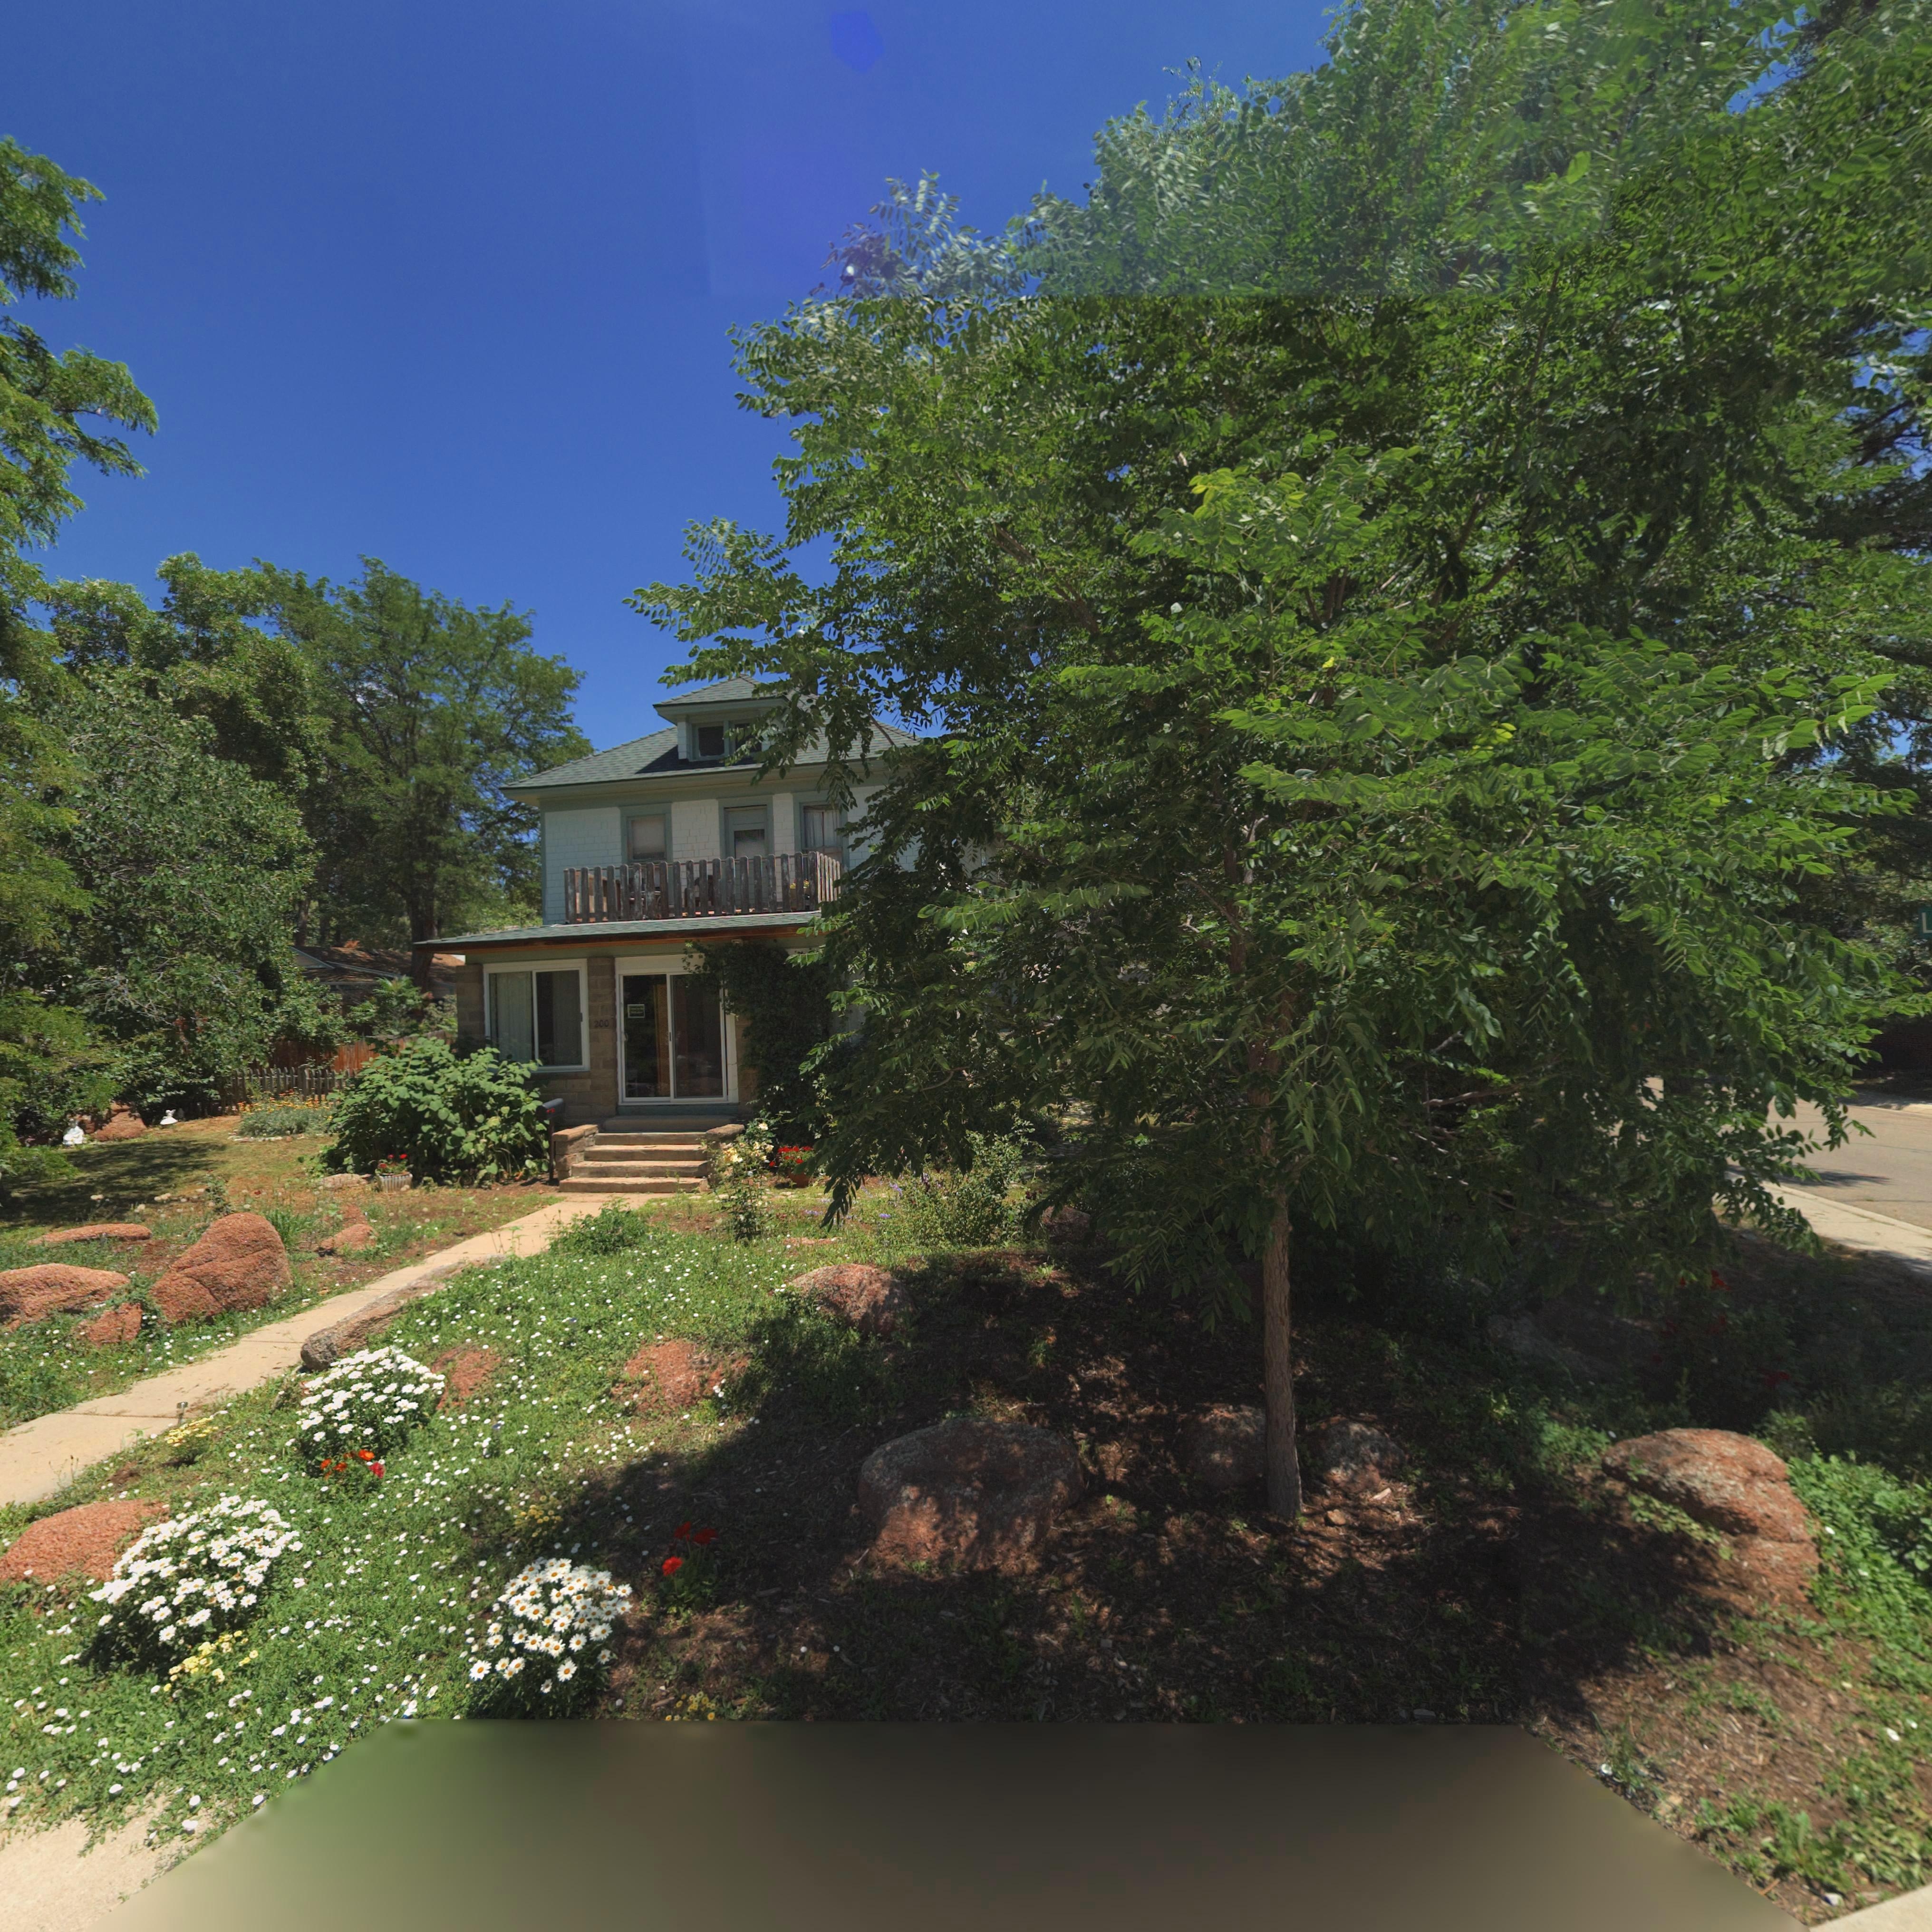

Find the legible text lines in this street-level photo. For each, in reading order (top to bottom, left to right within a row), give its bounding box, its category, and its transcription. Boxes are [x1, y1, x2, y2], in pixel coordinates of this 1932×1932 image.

[594, 1019, 609, 1027] StreetNumber: 200